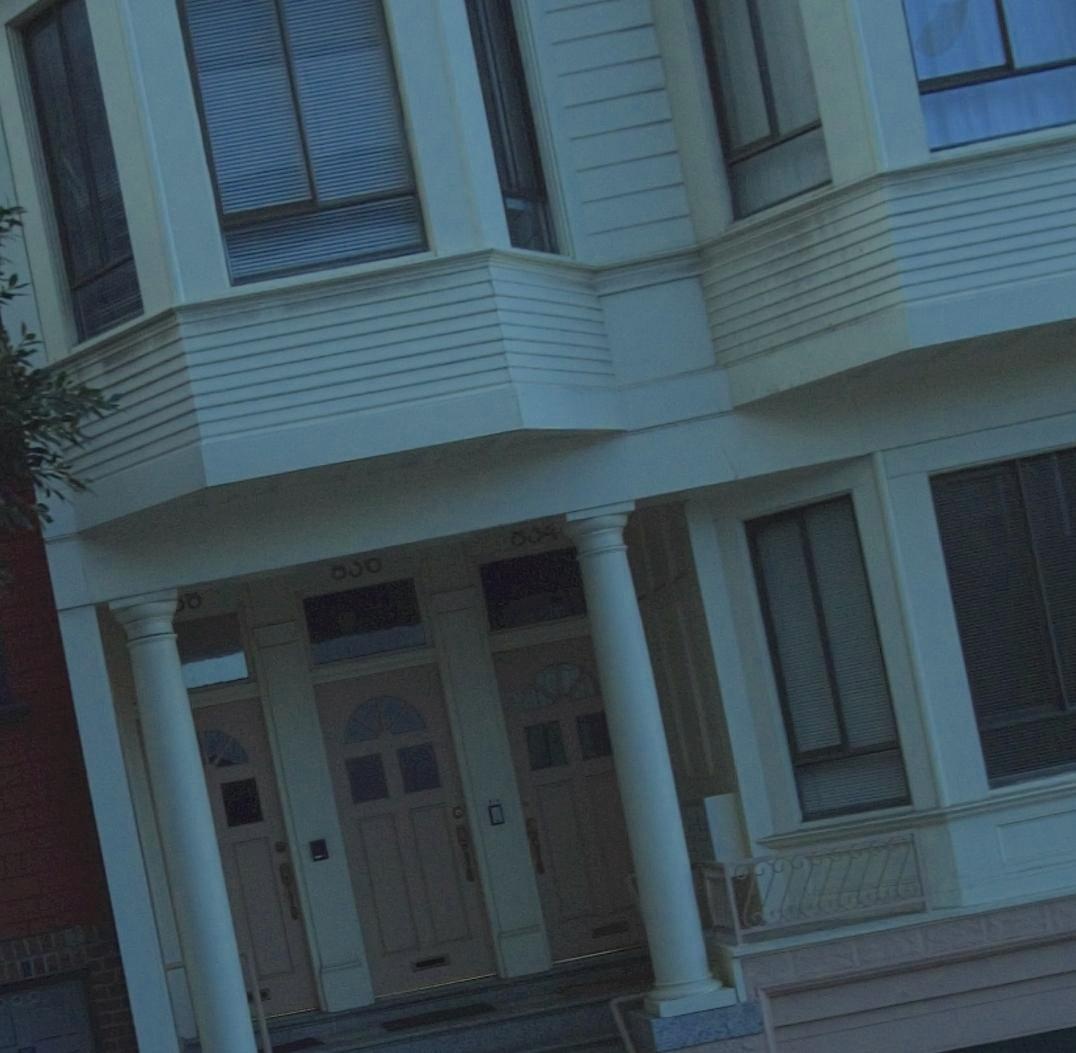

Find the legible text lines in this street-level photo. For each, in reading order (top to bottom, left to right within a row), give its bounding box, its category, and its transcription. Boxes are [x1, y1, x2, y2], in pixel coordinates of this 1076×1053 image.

[506, 518, 564, 550] StreetNumber: 834
[327, 554, 384, 583] StreetNumber: 836
[162, 589, 205, 615] StreetNumber: **8